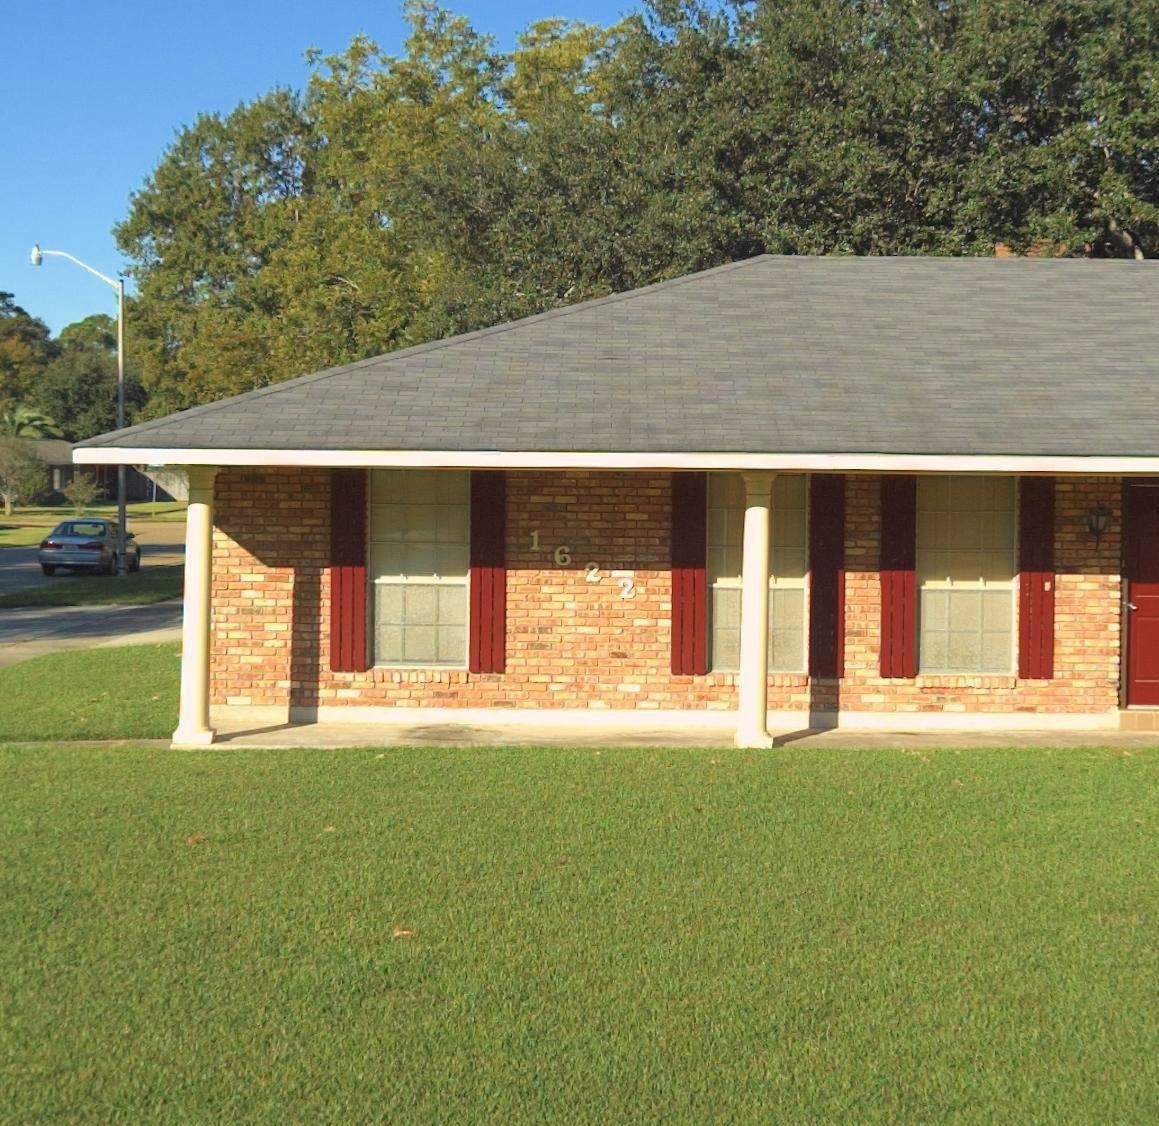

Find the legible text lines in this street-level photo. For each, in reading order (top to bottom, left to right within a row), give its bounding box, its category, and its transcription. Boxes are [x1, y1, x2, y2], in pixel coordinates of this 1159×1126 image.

[527, 527, 638, 600] StreetNumber: 1622